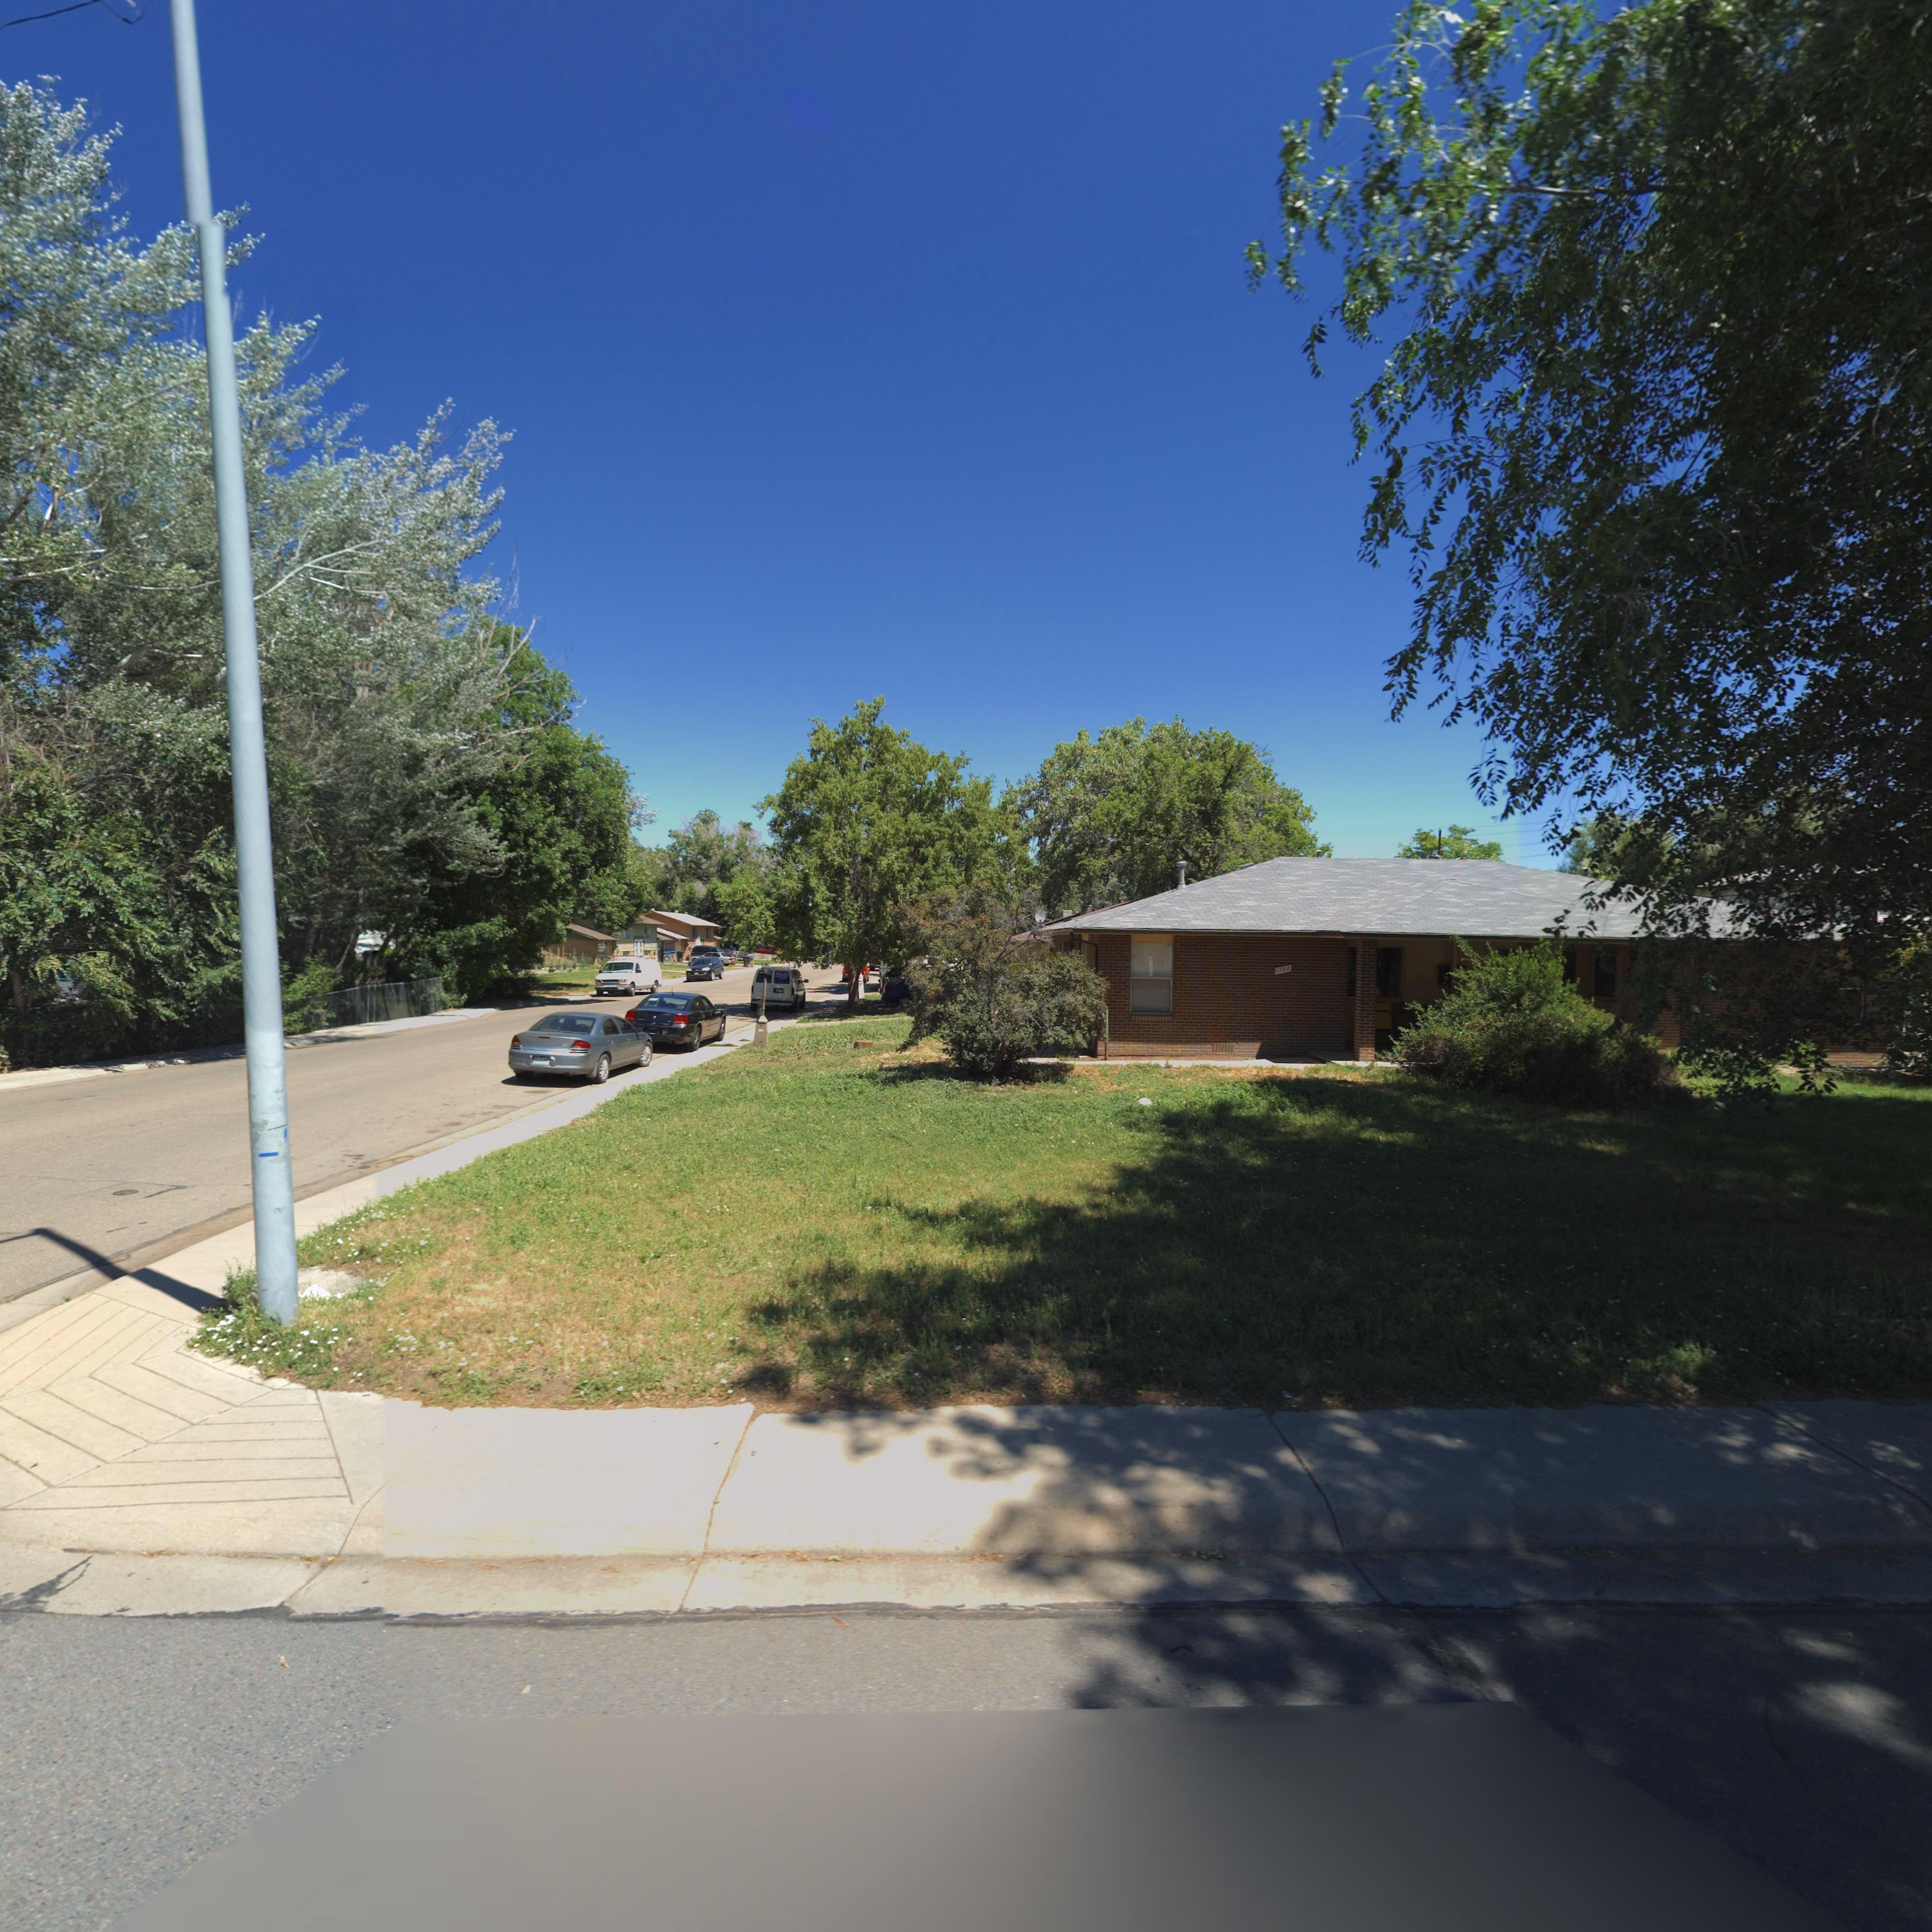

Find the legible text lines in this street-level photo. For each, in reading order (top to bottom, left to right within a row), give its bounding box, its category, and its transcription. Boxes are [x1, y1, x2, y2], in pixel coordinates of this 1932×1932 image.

[1276, 966, 1290, 973] StreetNumber: 1702